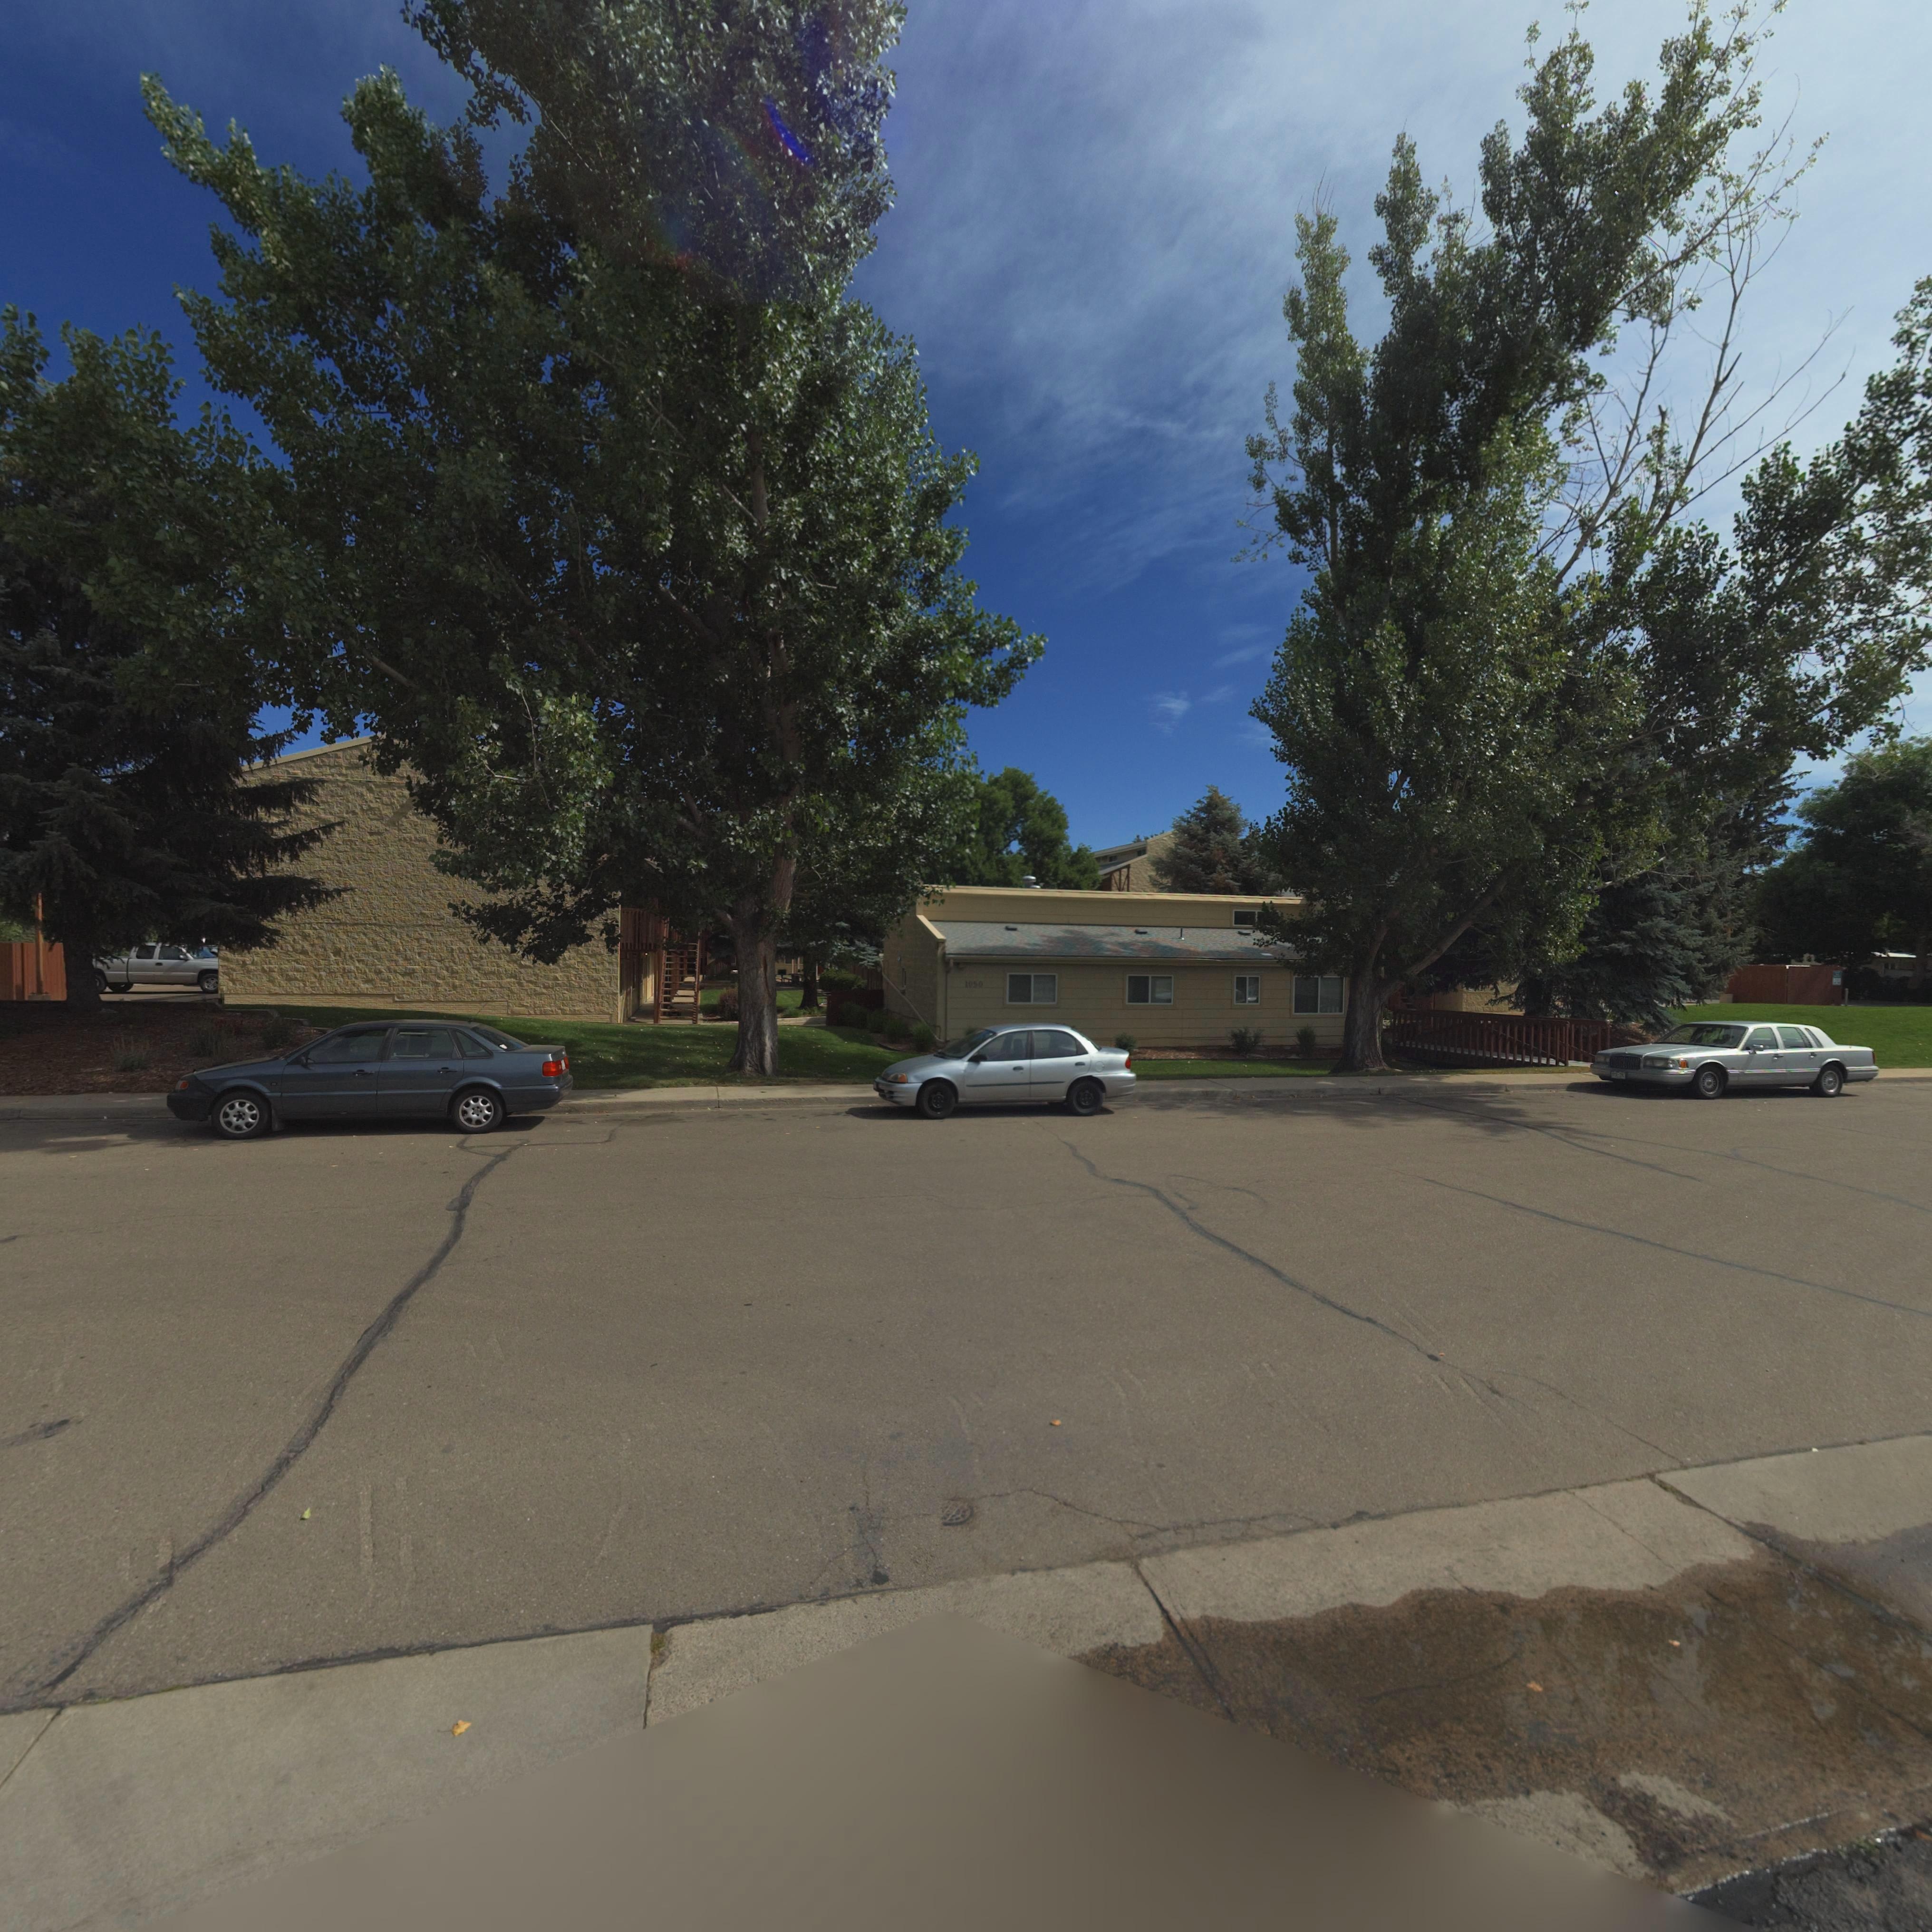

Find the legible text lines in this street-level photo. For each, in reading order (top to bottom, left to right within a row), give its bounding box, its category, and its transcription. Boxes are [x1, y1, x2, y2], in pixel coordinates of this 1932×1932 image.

[964, 980, 984, 988] StreetNumber: 1050